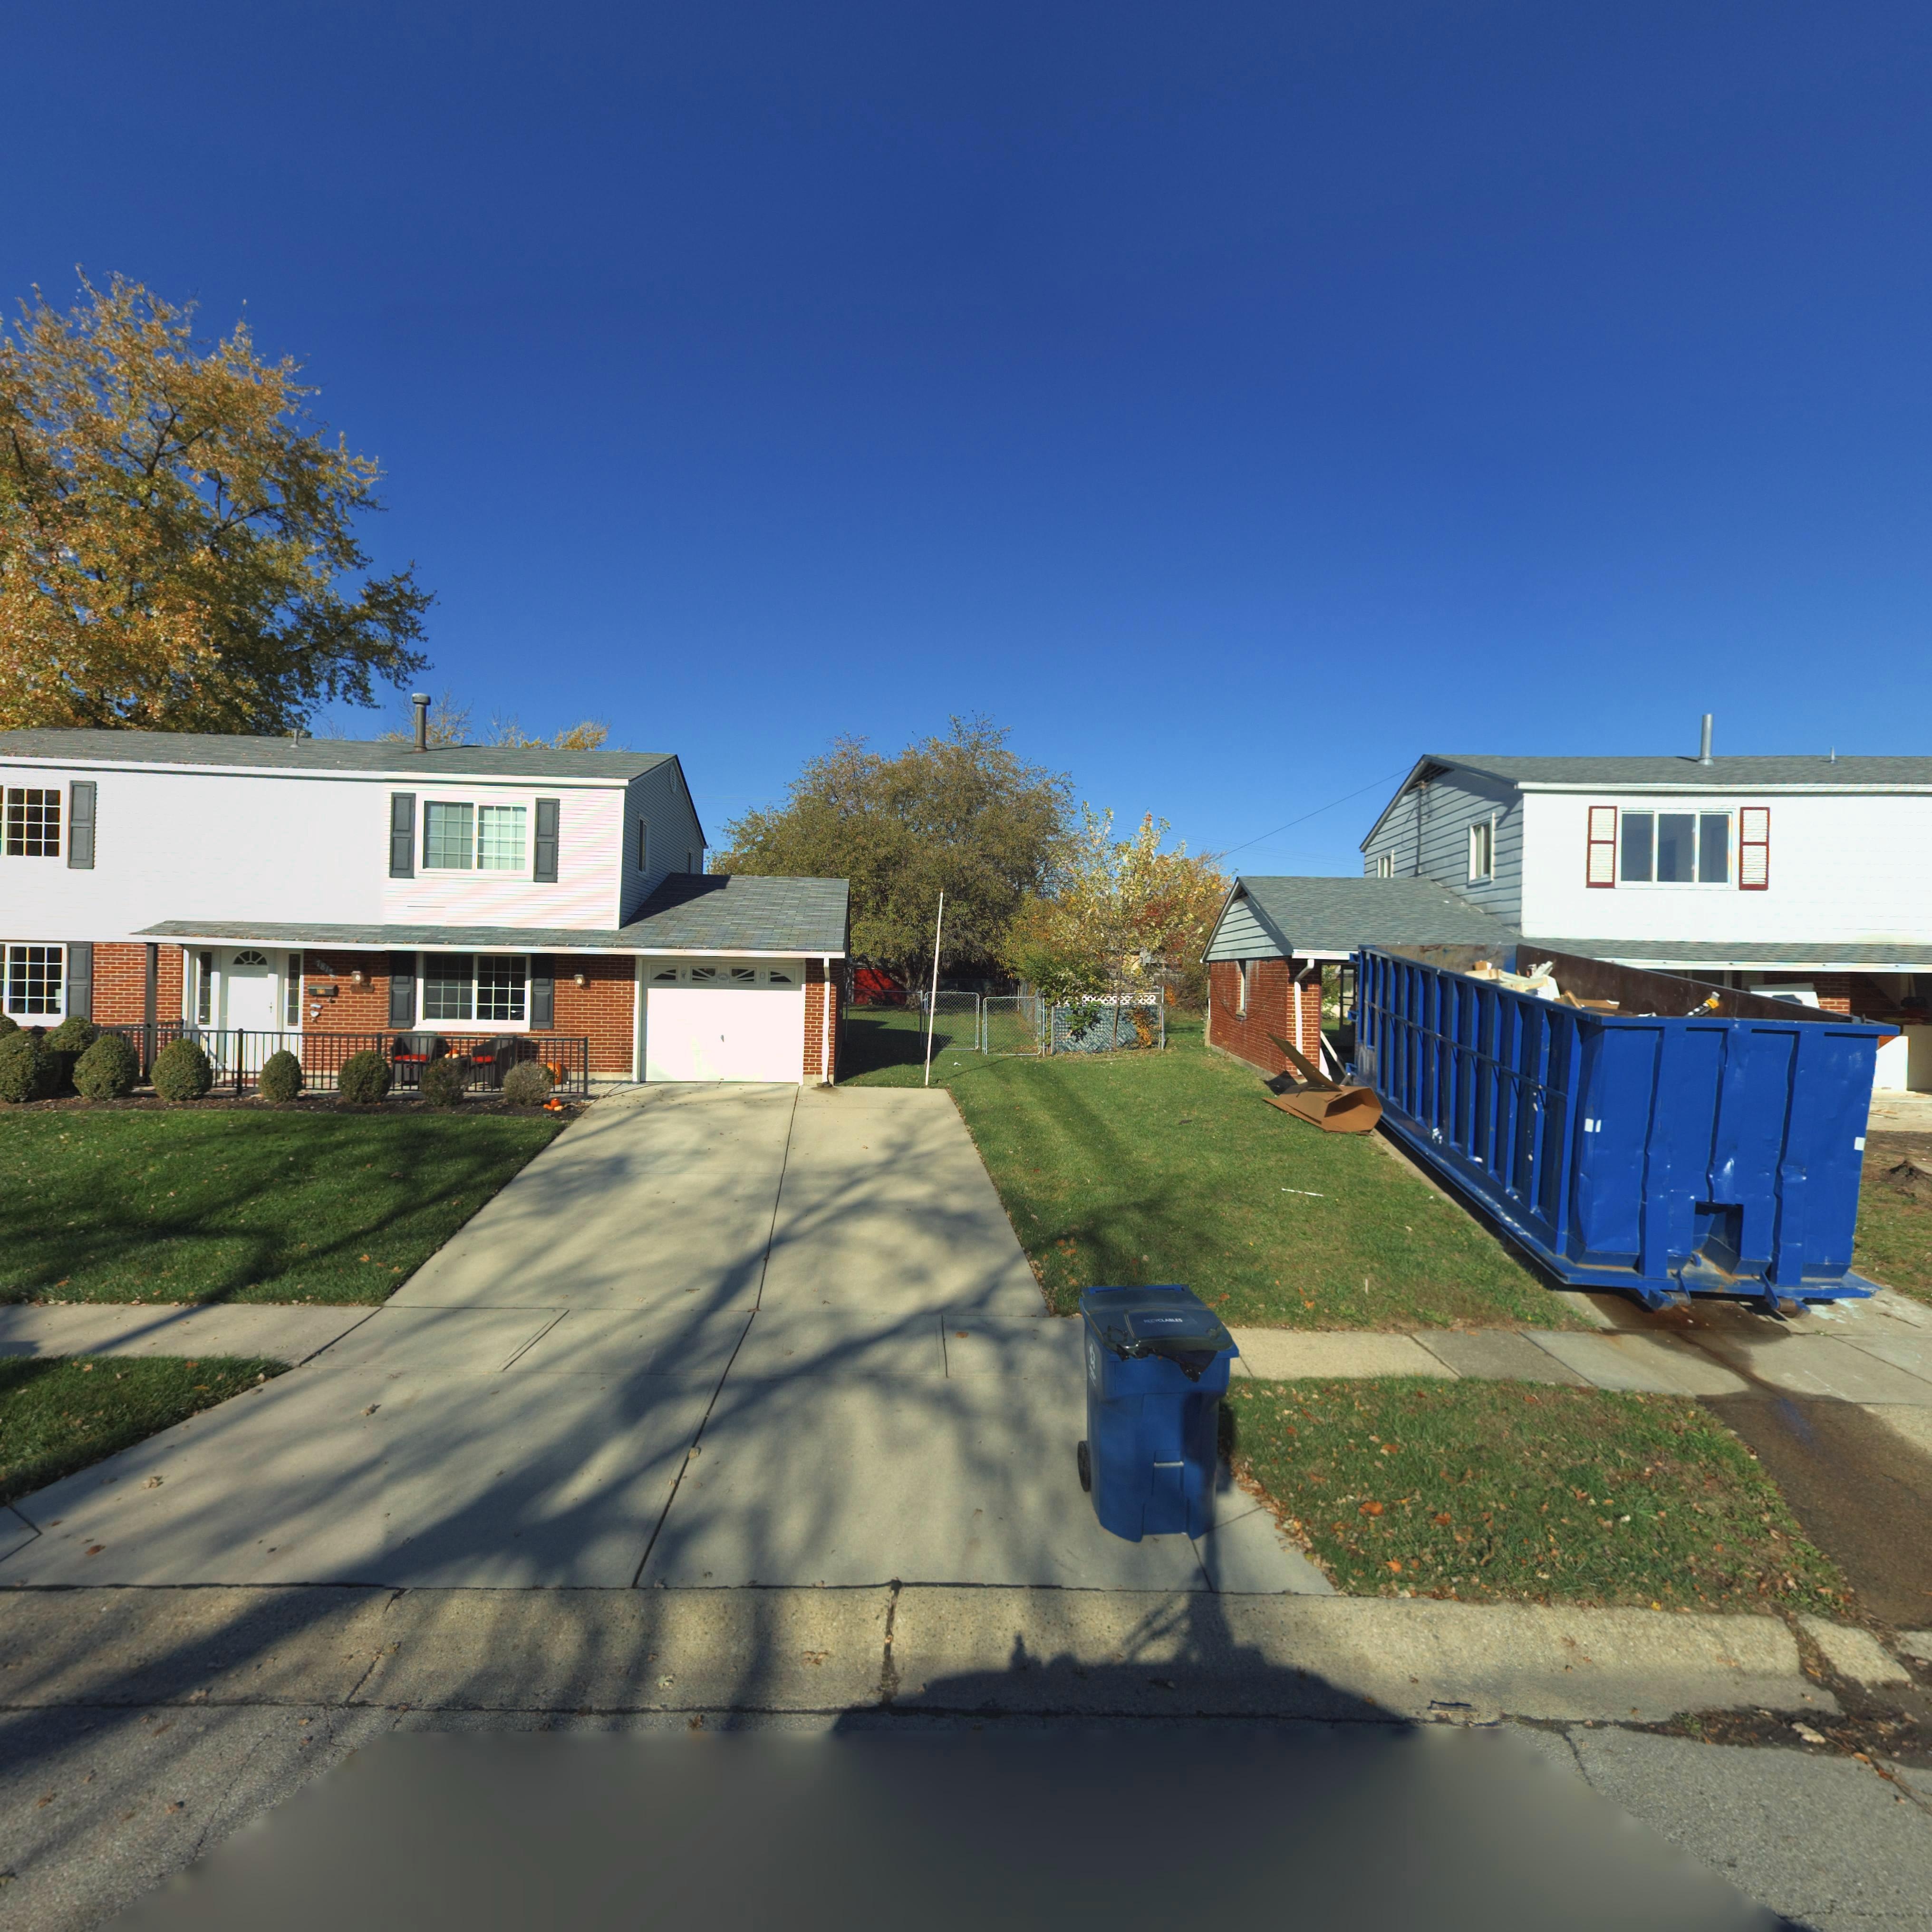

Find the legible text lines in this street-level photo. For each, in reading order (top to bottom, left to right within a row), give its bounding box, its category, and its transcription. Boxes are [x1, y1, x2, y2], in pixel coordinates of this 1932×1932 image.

[314, 958, 335, 978] StreetNumber: 781*